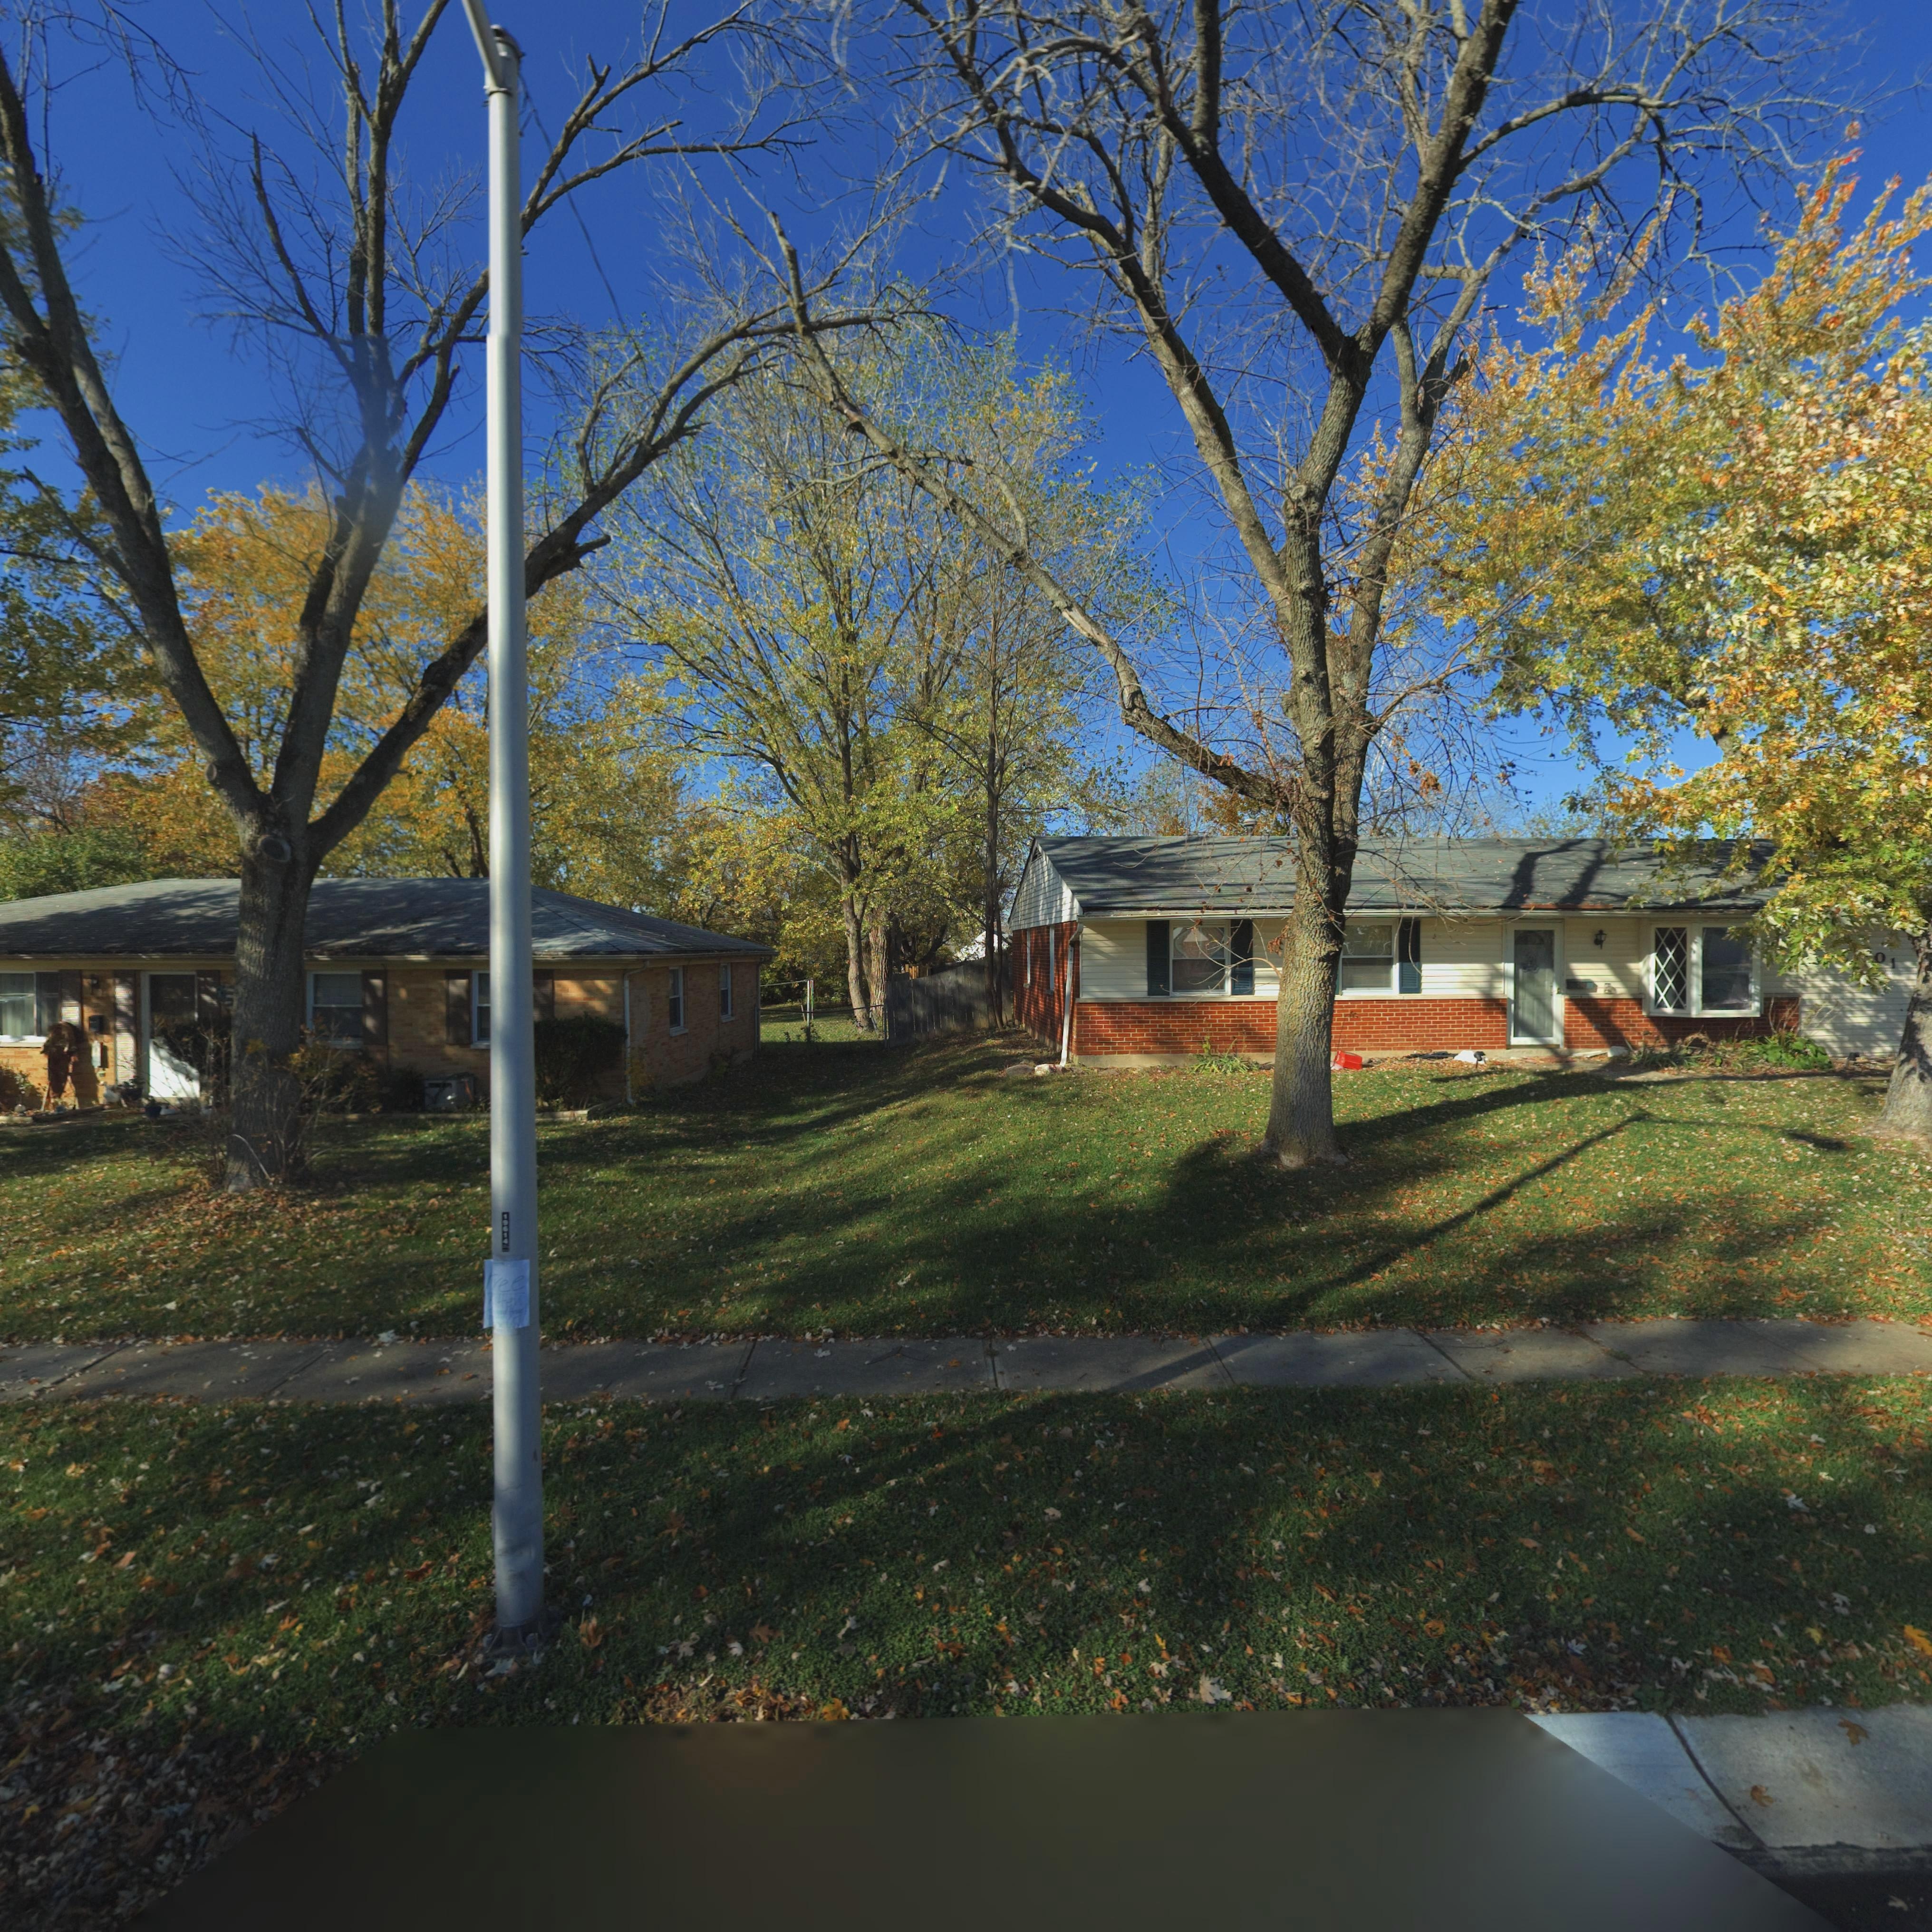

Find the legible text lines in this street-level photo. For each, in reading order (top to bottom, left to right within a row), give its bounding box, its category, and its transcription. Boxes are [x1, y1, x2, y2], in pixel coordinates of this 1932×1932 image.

[1873, 950, 1896, 970] StreetNumber: 01